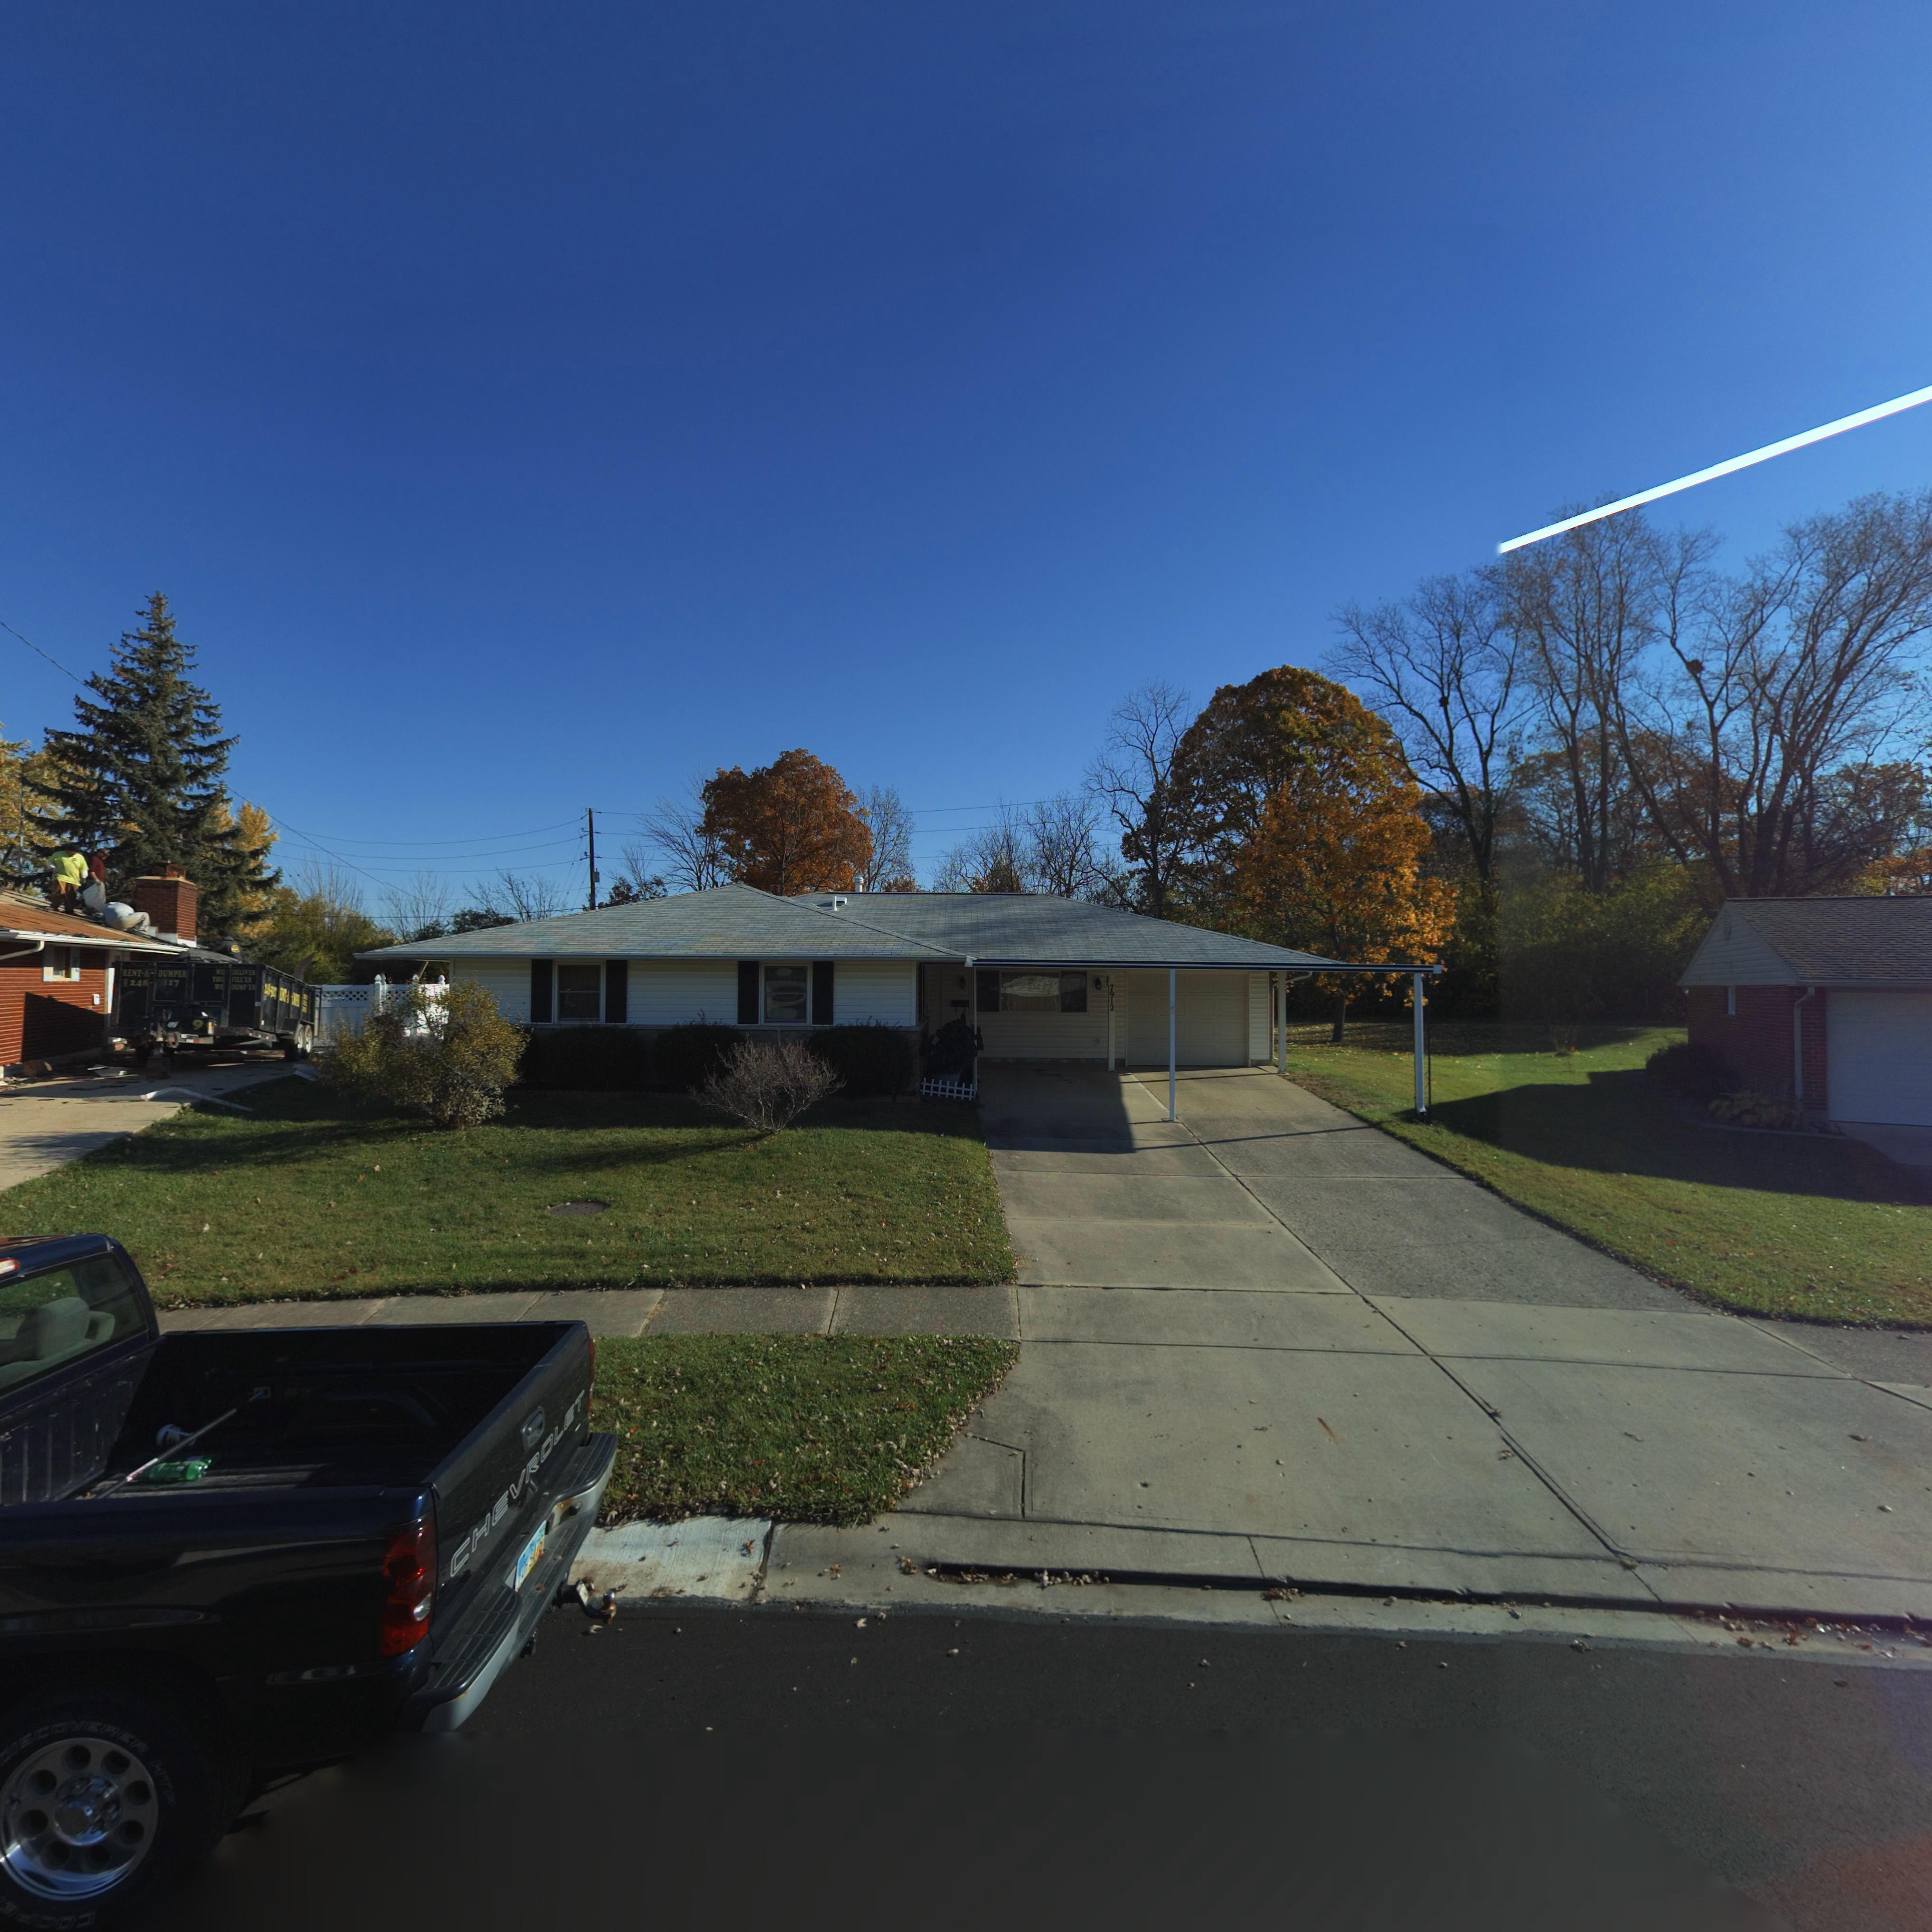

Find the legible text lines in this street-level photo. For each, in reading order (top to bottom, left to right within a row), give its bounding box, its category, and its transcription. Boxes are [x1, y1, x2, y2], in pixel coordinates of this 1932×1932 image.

[1109, 984, 1115, 1012] StreetNumber: 7912